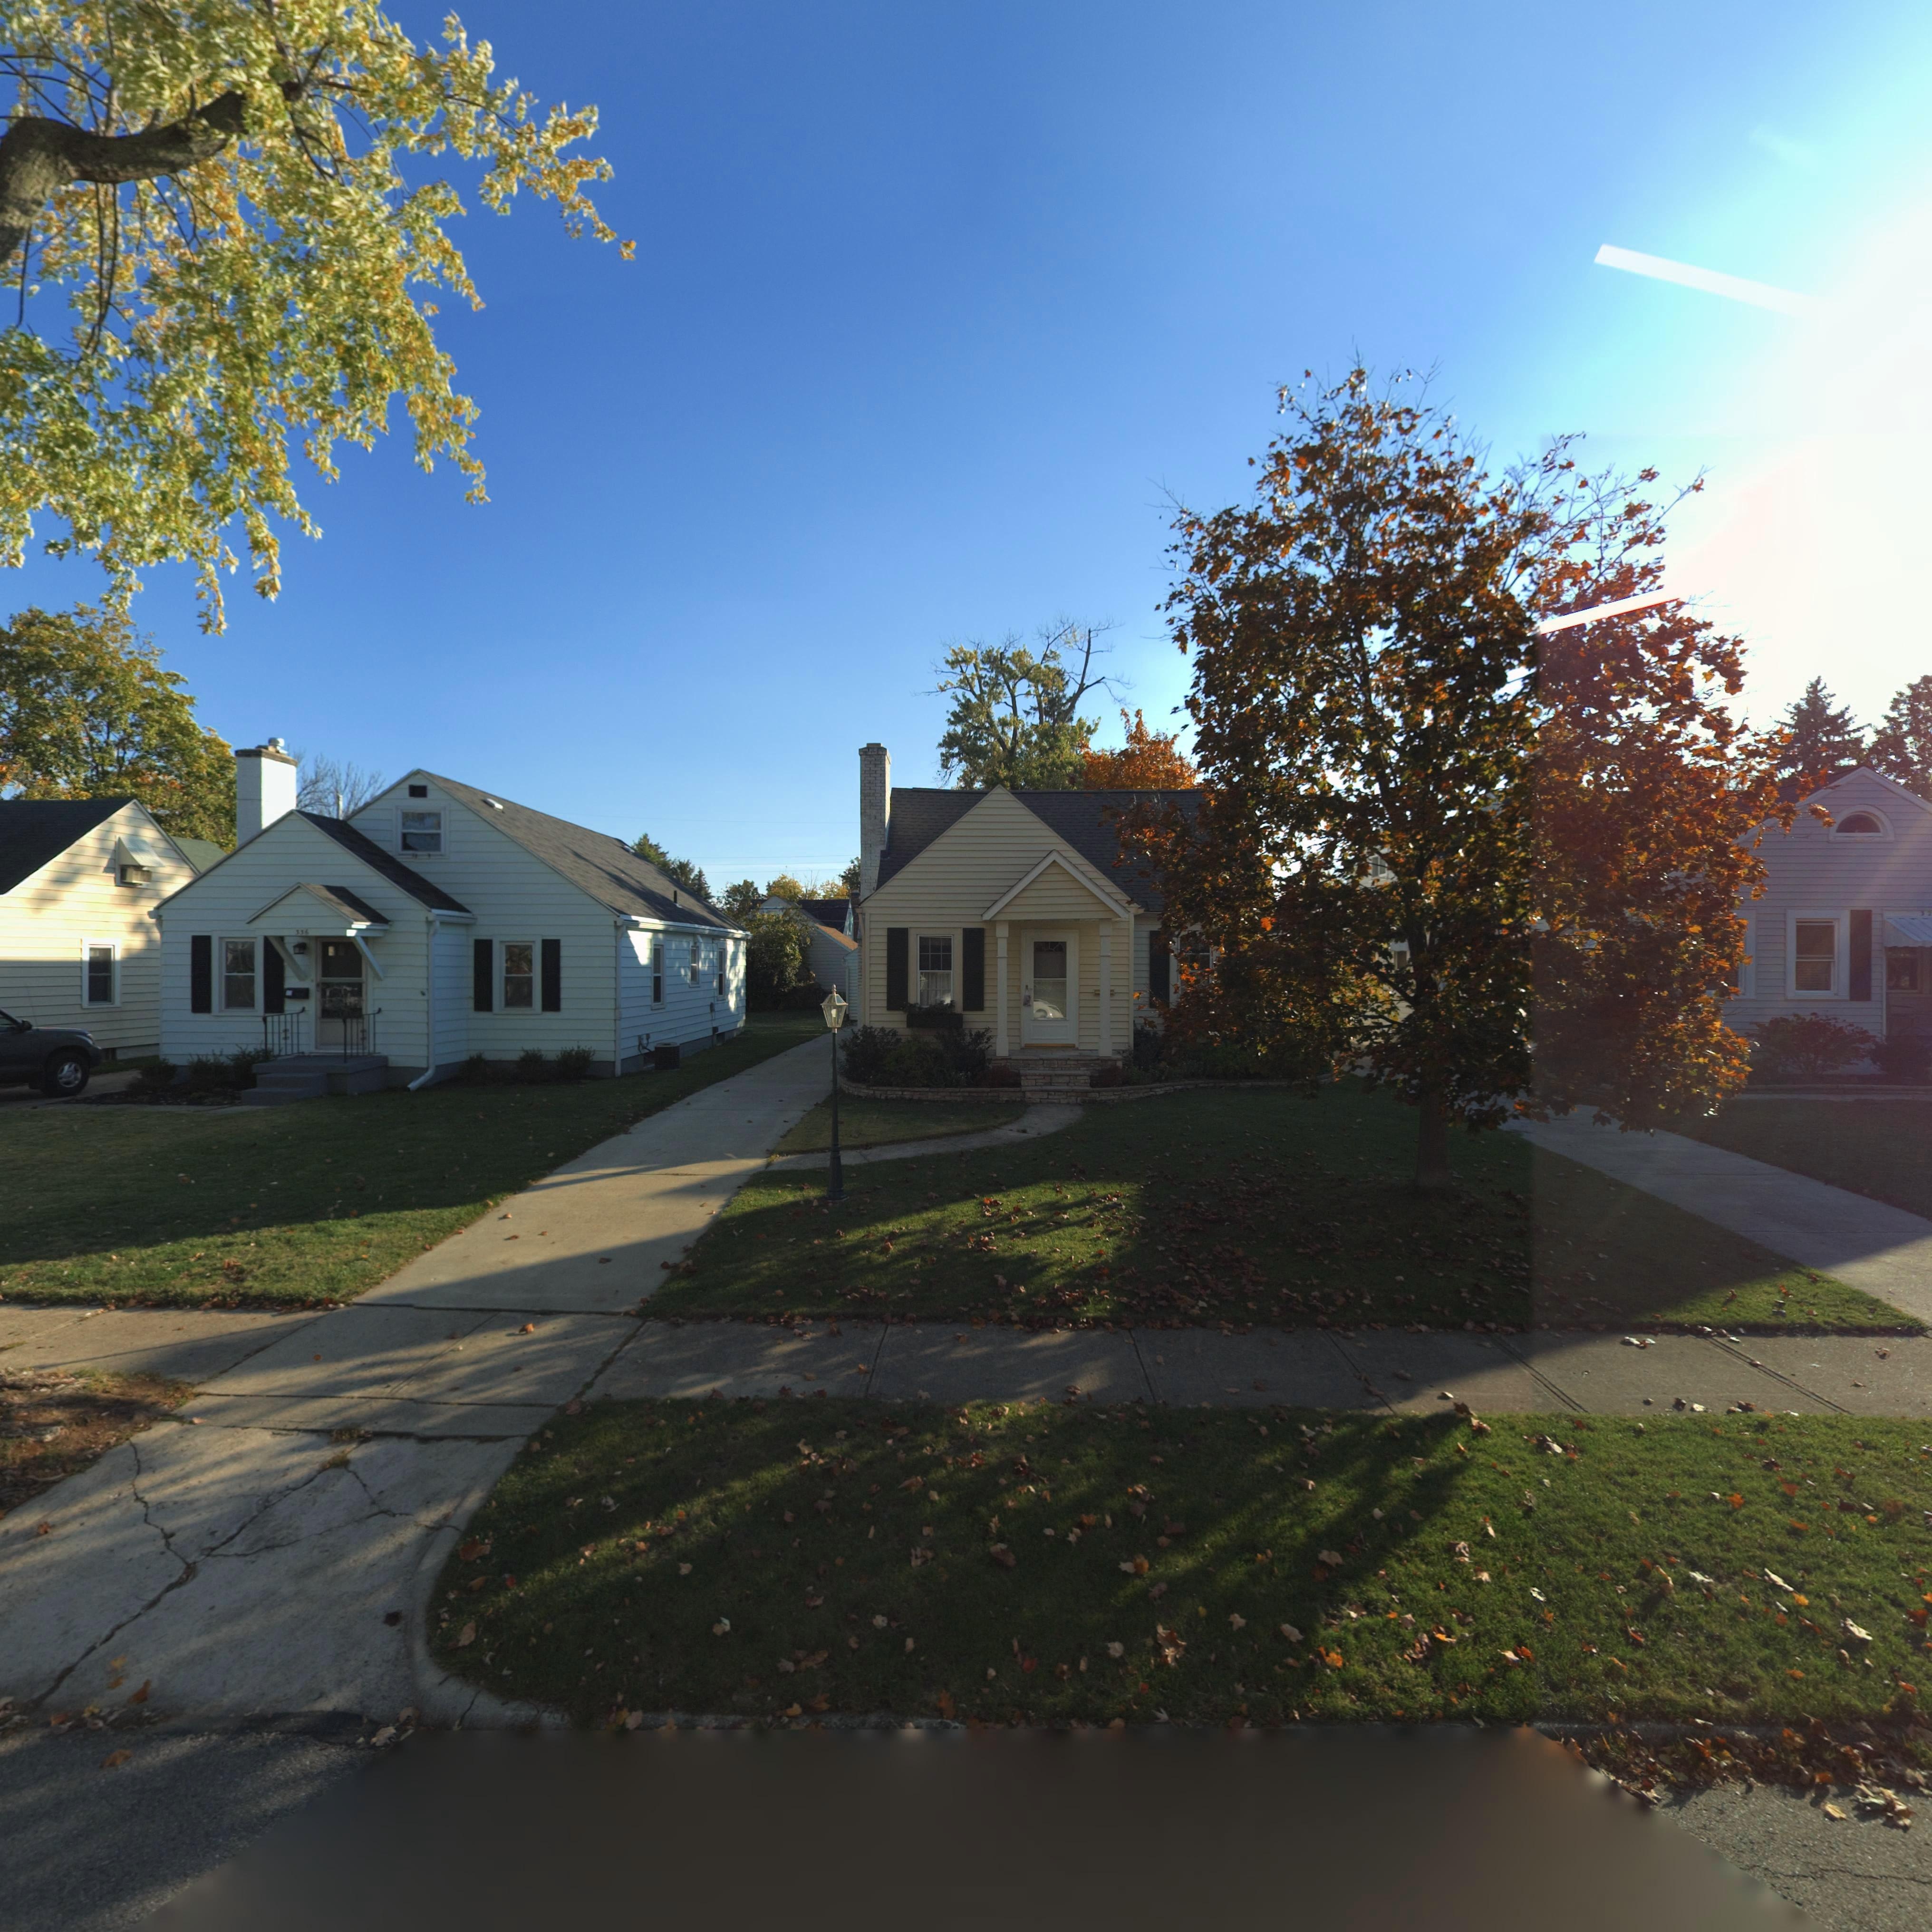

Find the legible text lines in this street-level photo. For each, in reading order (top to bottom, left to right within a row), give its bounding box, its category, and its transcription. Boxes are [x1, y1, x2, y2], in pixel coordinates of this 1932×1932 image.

[1919, 910, 1932, 917] StreetNumber: 3*
[294, 928, 309, 935] StreetNumber: 336